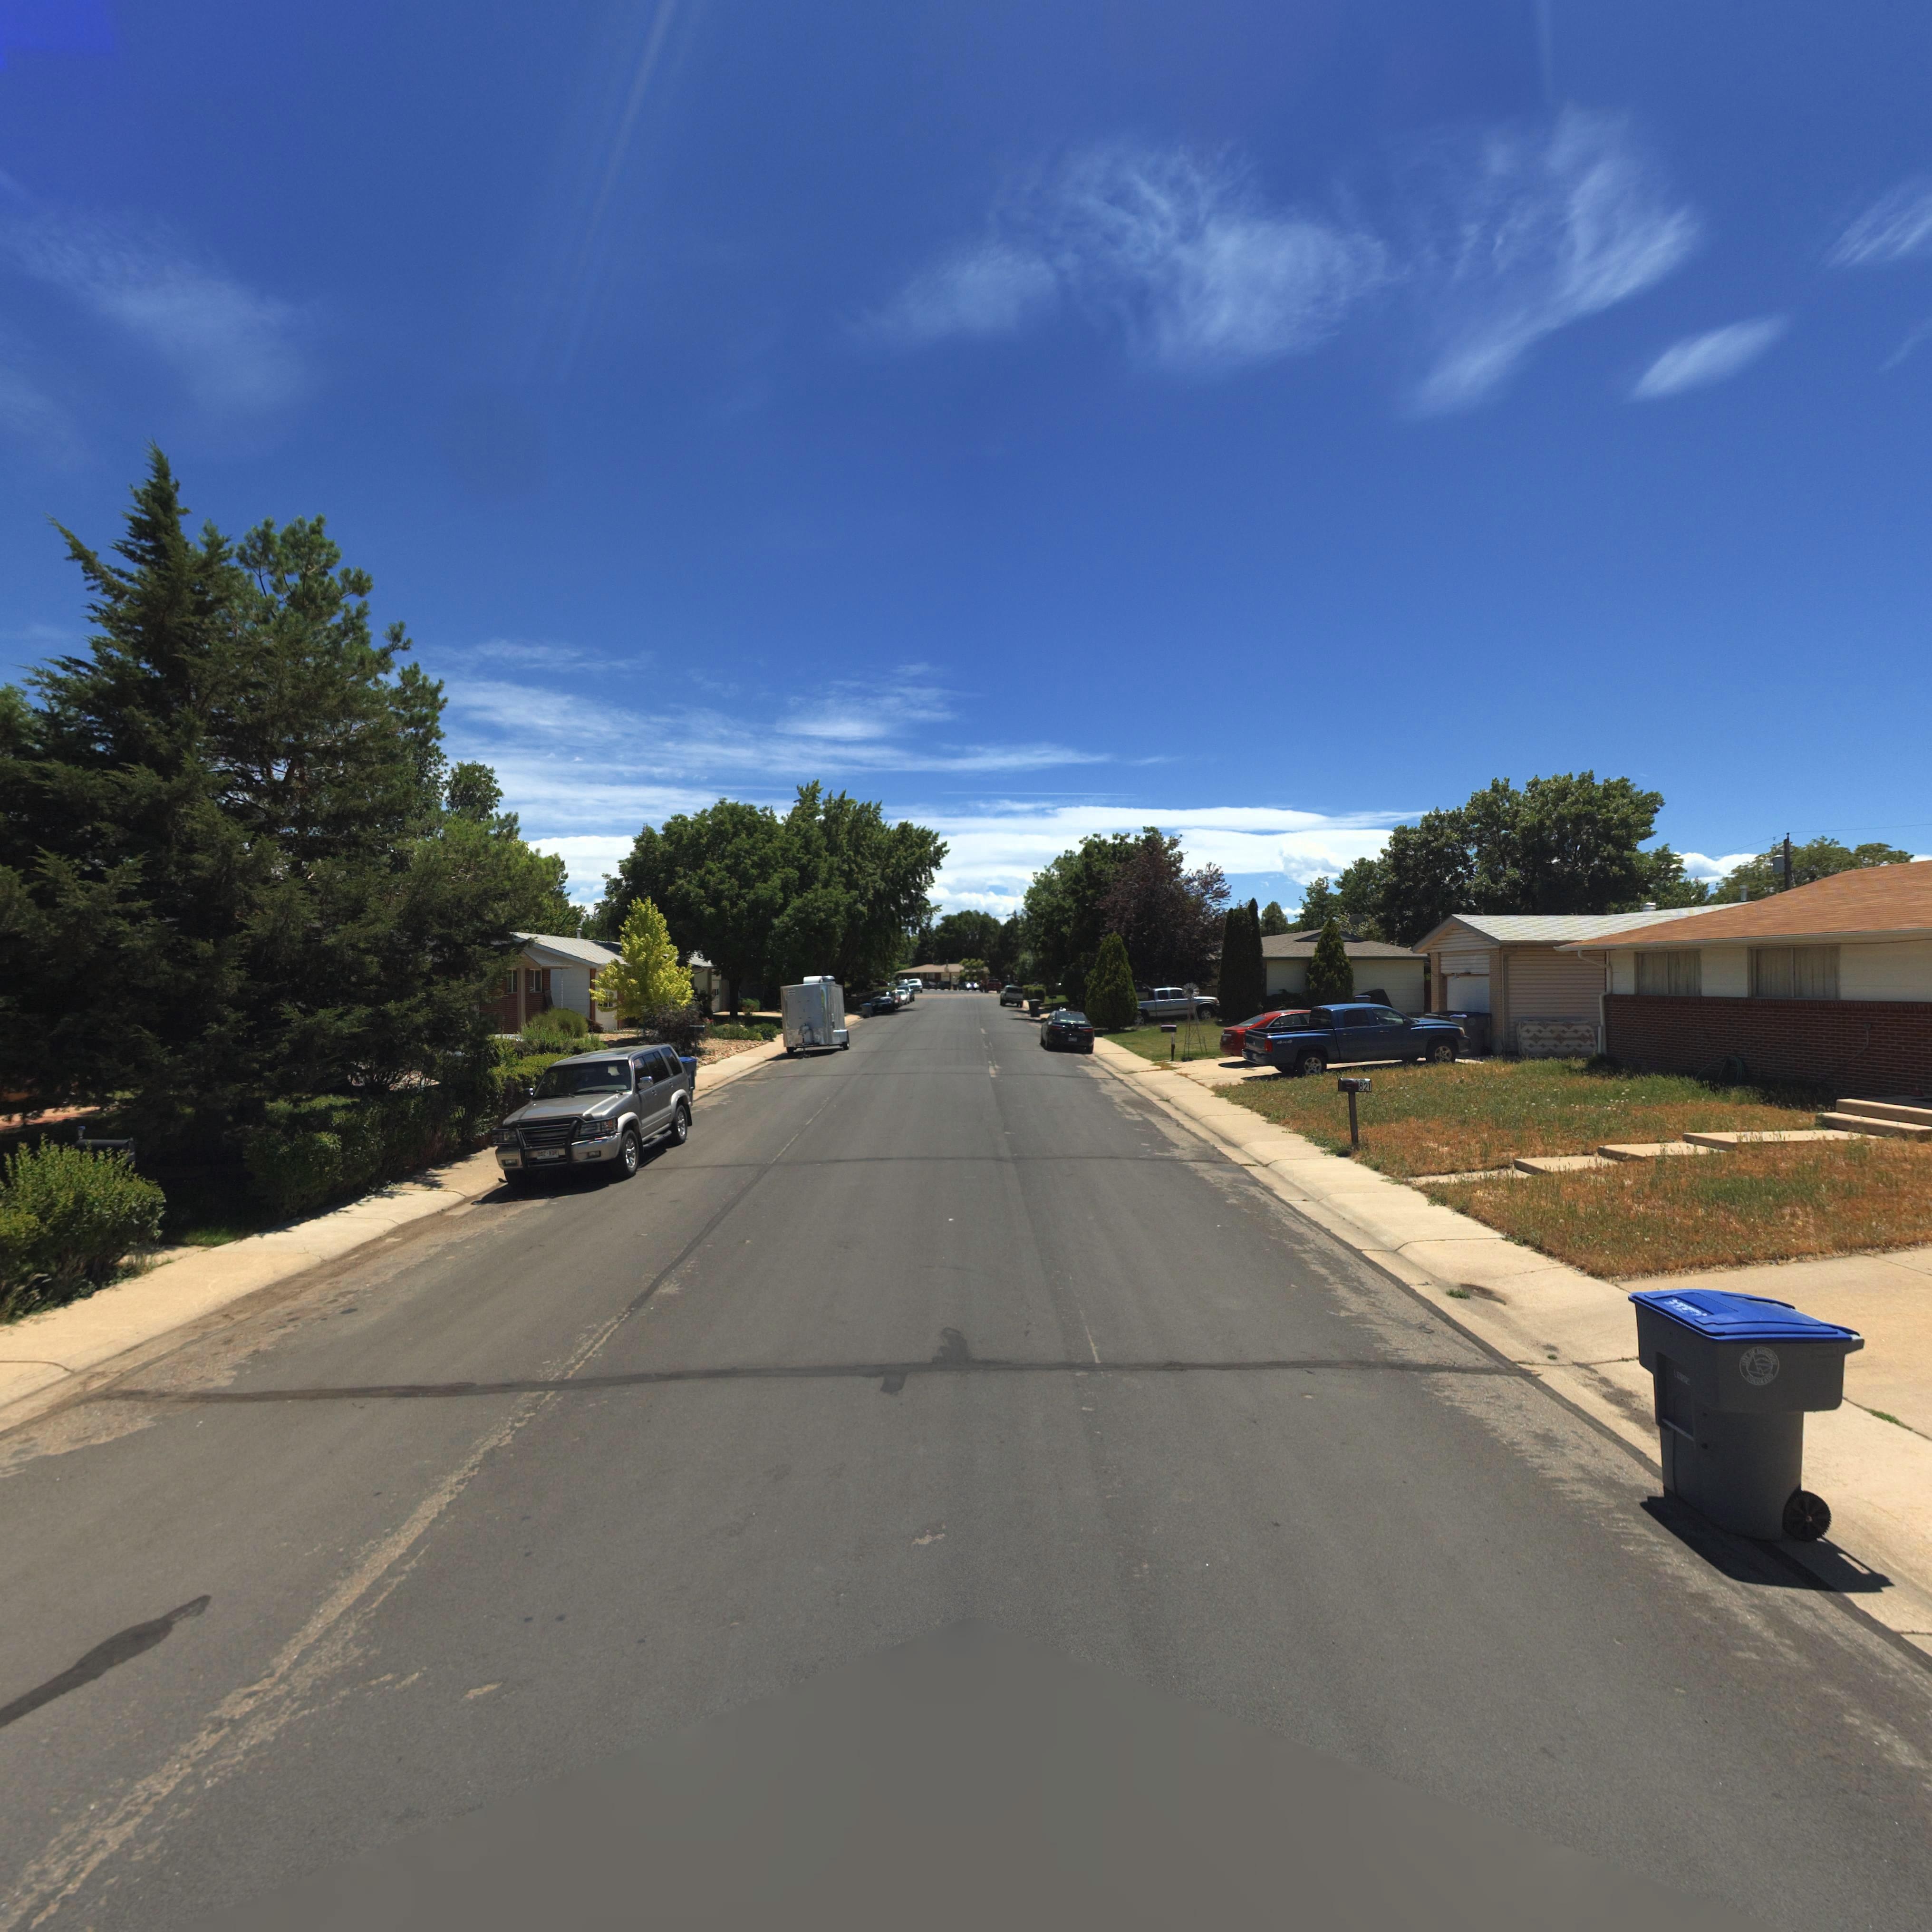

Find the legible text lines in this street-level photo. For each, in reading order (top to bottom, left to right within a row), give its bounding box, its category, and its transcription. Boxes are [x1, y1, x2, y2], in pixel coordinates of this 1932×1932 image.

[1358, 1082, 1371, 1092] StreetNumber: 821